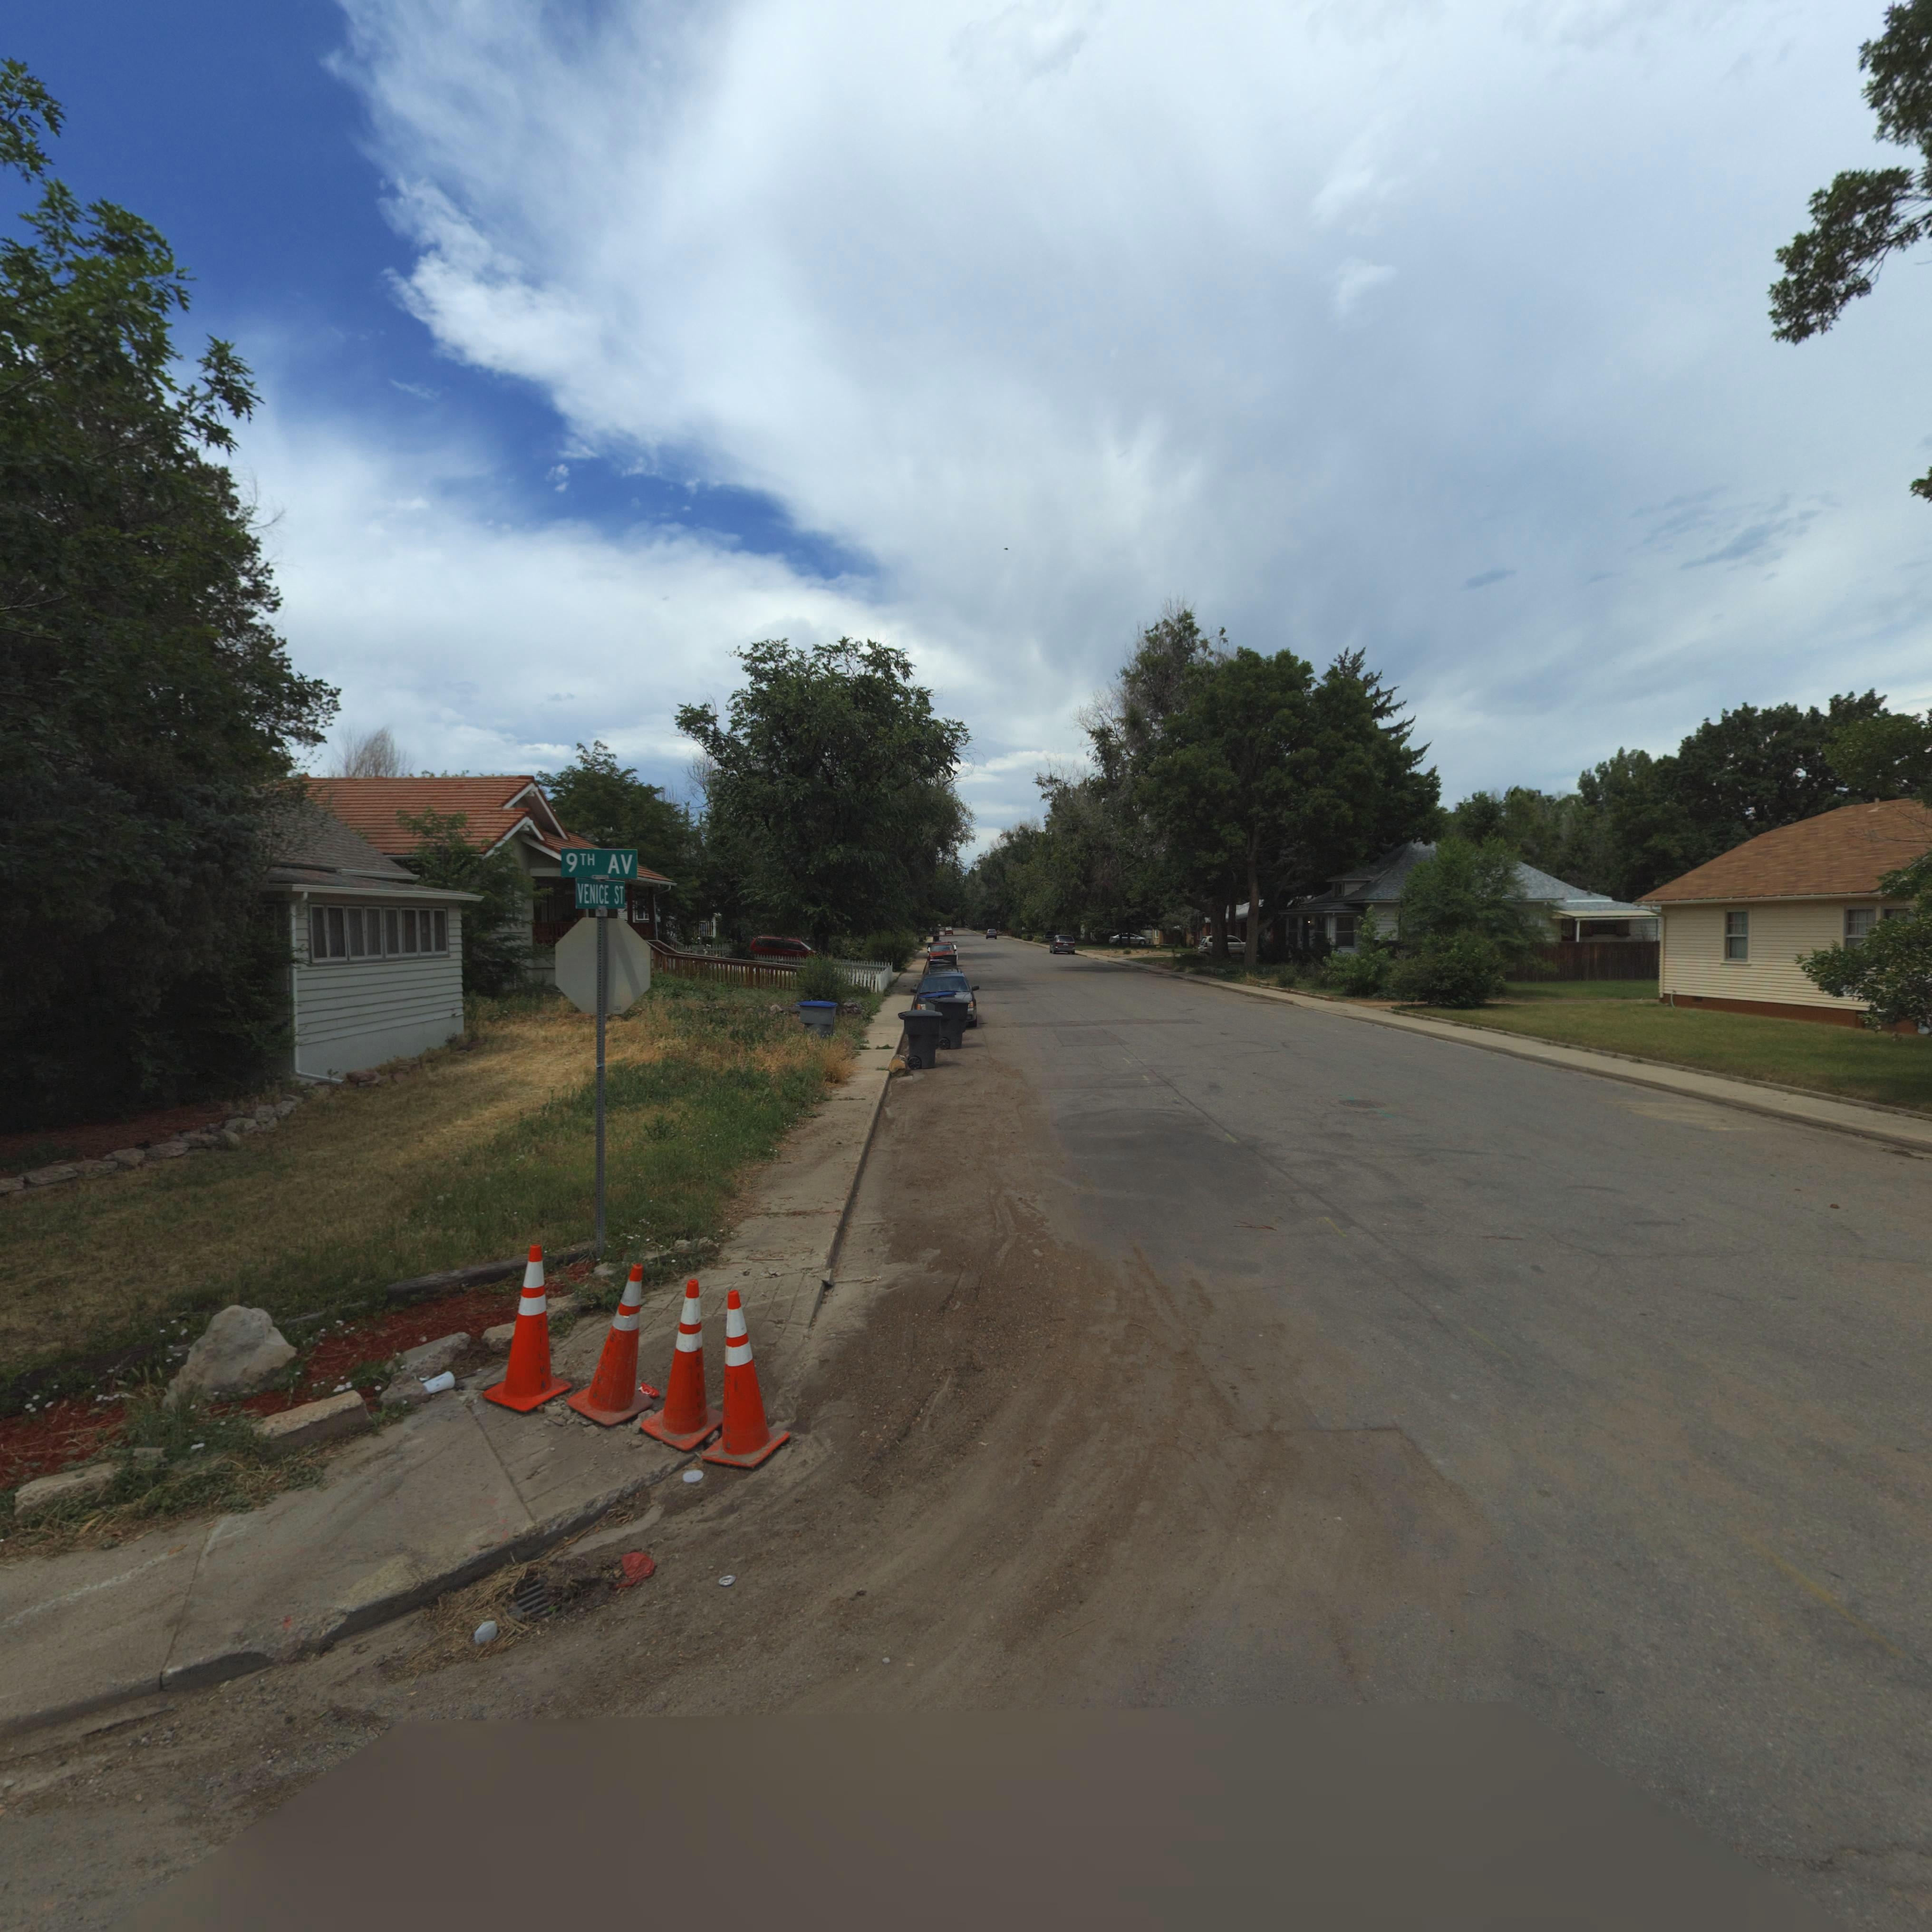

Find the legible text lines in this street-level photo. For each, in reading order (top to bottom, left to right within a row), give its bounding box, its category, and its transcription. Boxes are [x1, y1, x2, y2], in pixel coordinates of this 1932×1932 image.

[566, 853, 632, 874] StreetName: 9TH AV
[577, 882, 625, 905] StreetName: VENICE ST